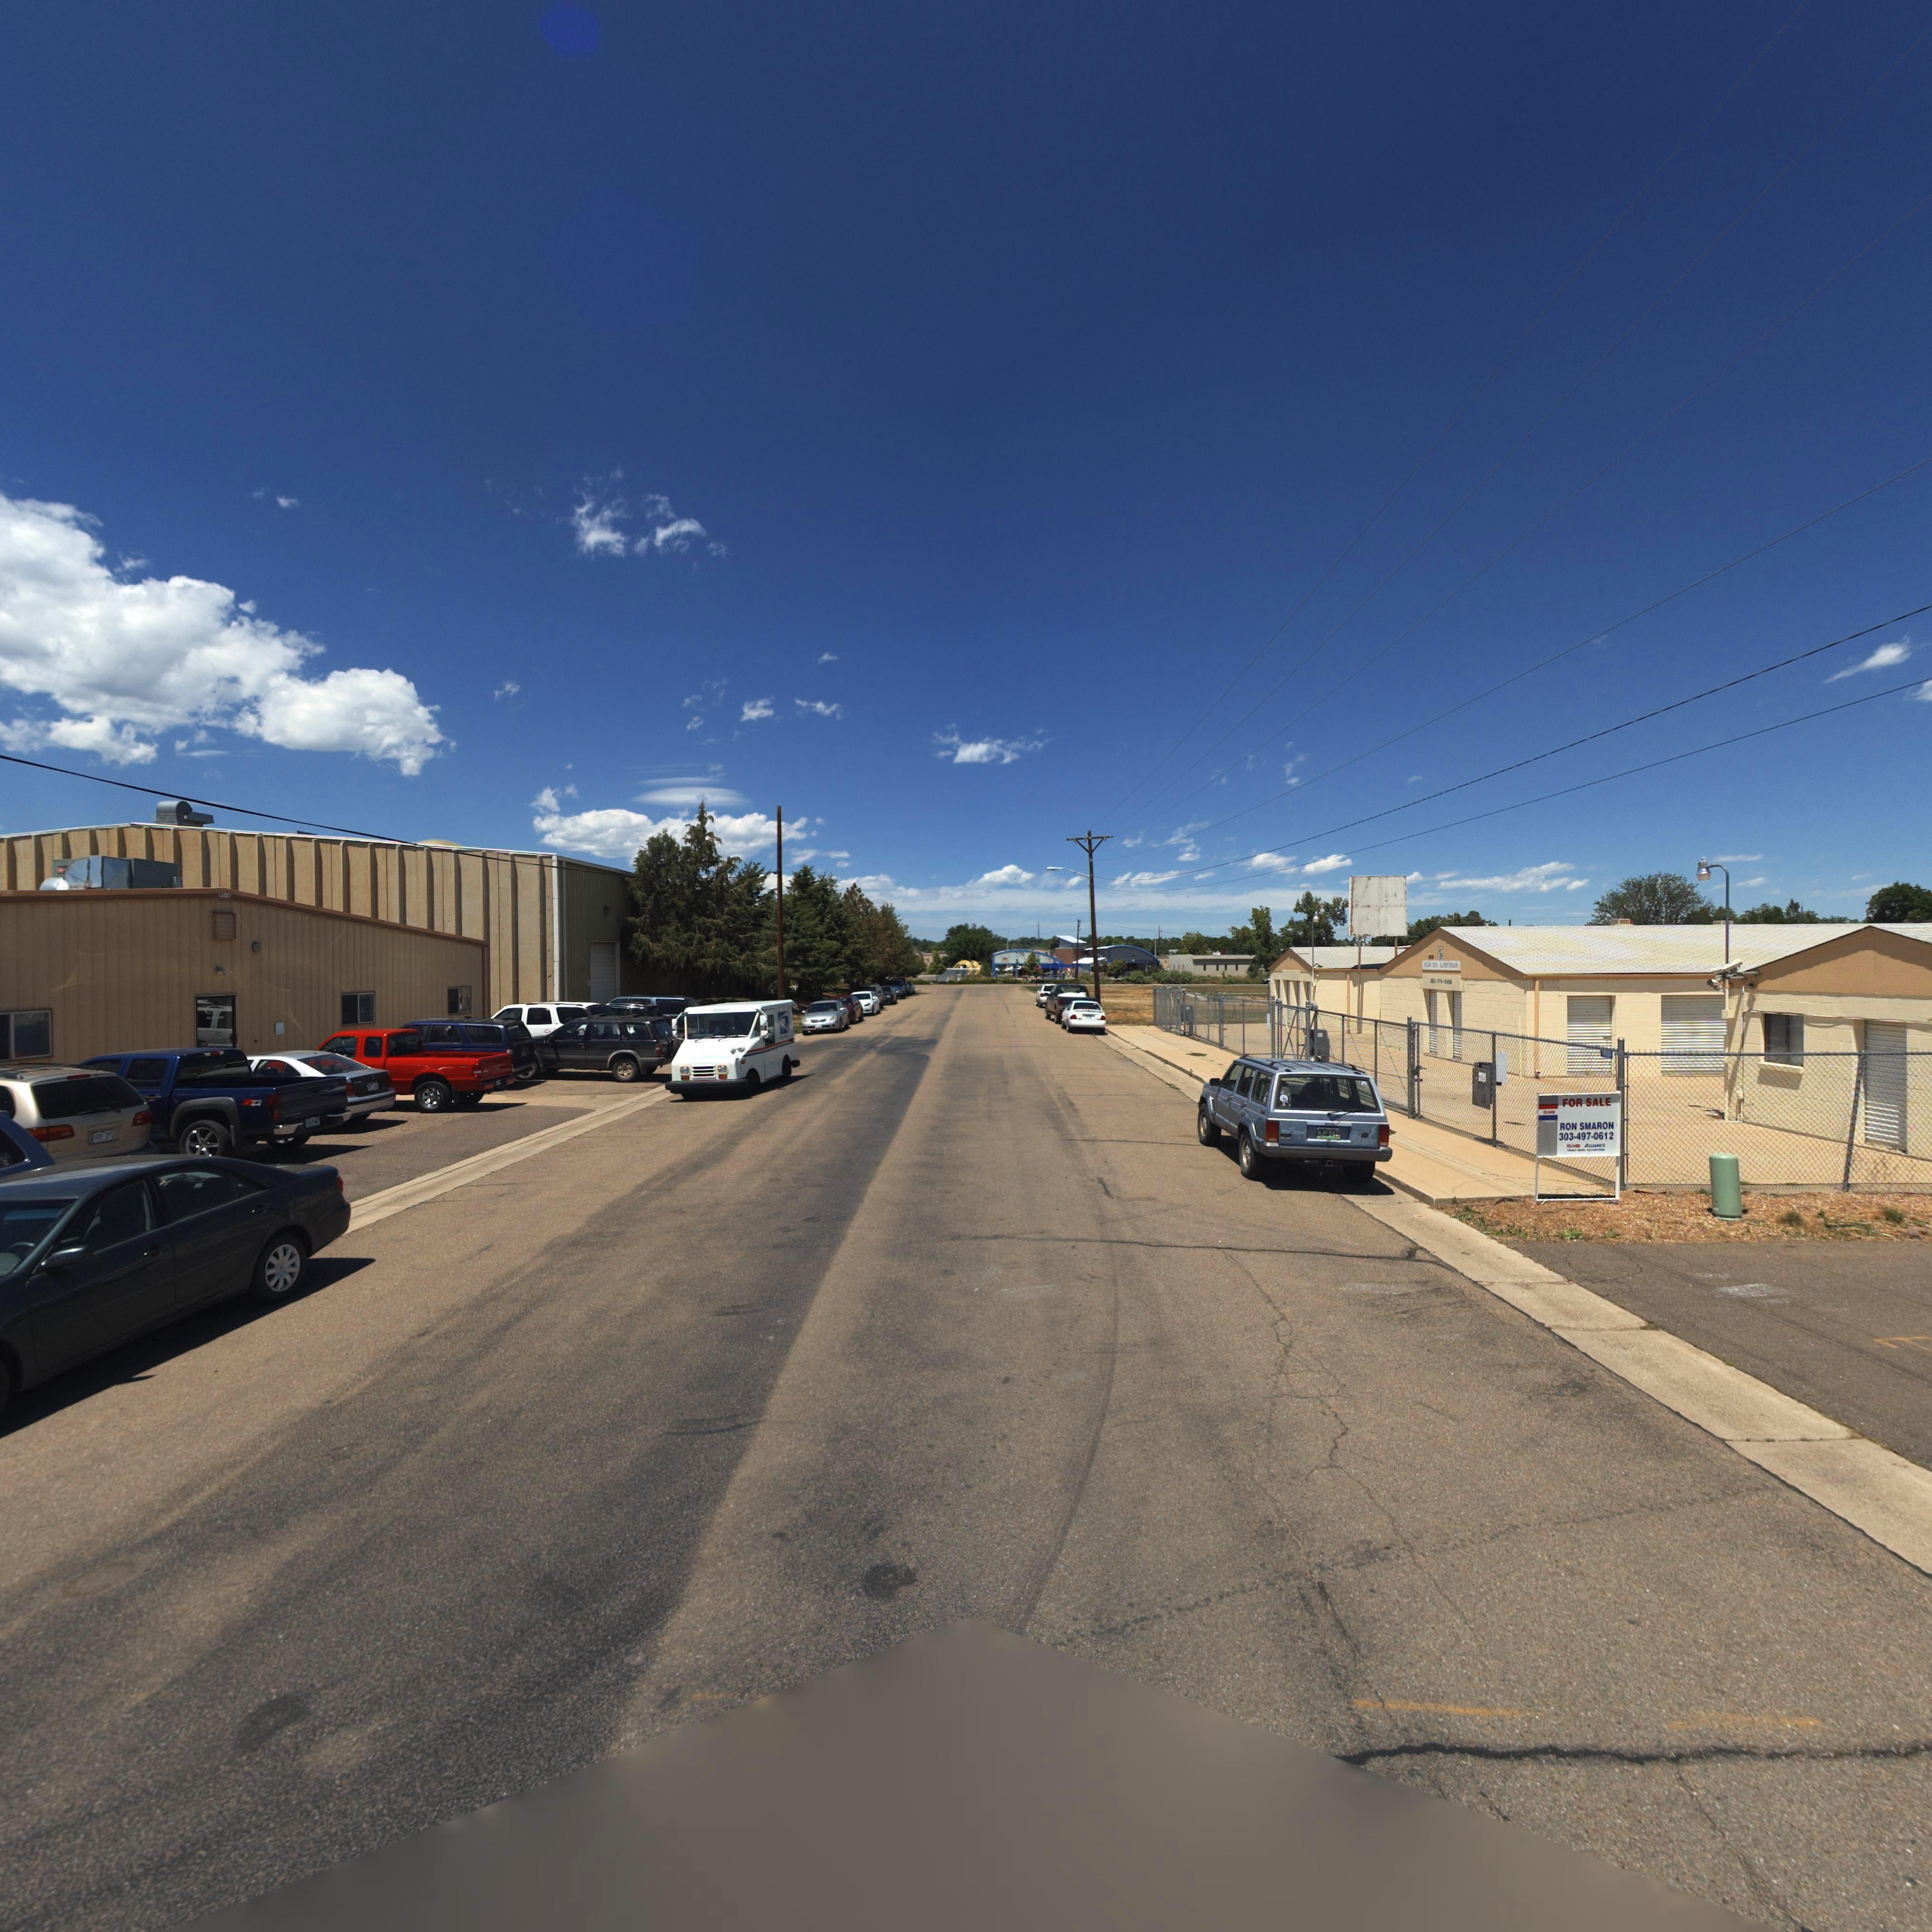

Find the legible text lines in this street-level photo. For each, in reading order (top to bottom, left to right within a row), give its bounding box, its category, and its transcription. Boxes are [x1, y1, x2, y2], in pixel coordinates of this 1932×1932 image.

[1423, 961, 1431, 968] StreetNumber: 834
[1431, 962, 1459, 968] StreetName: S* LINCOLN